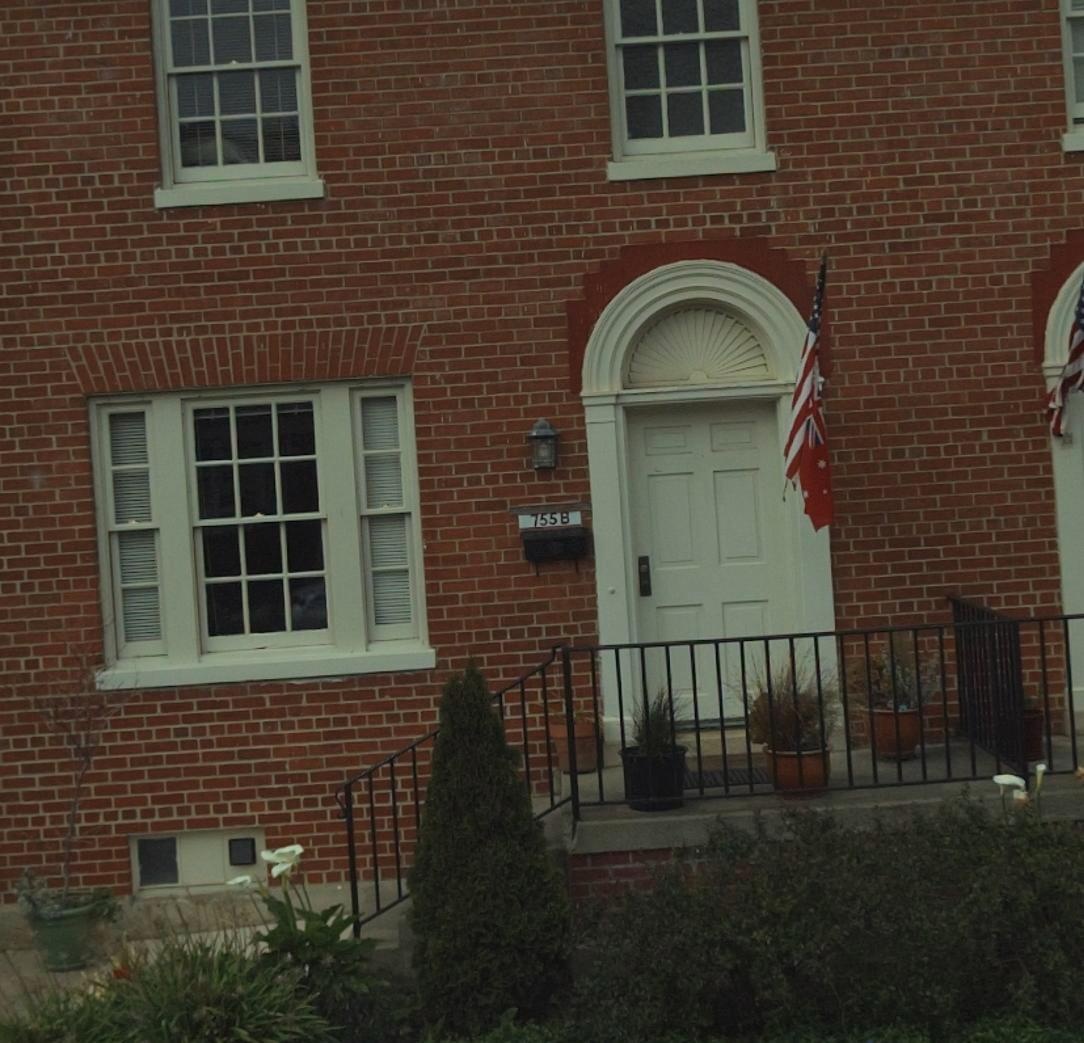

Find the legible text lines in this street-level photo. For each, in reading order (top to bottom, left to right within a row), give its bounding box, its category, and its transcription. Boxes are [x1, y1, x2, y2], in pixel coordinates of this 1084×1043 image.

[529, 510, 571, 528] StreetNumber: 755 B